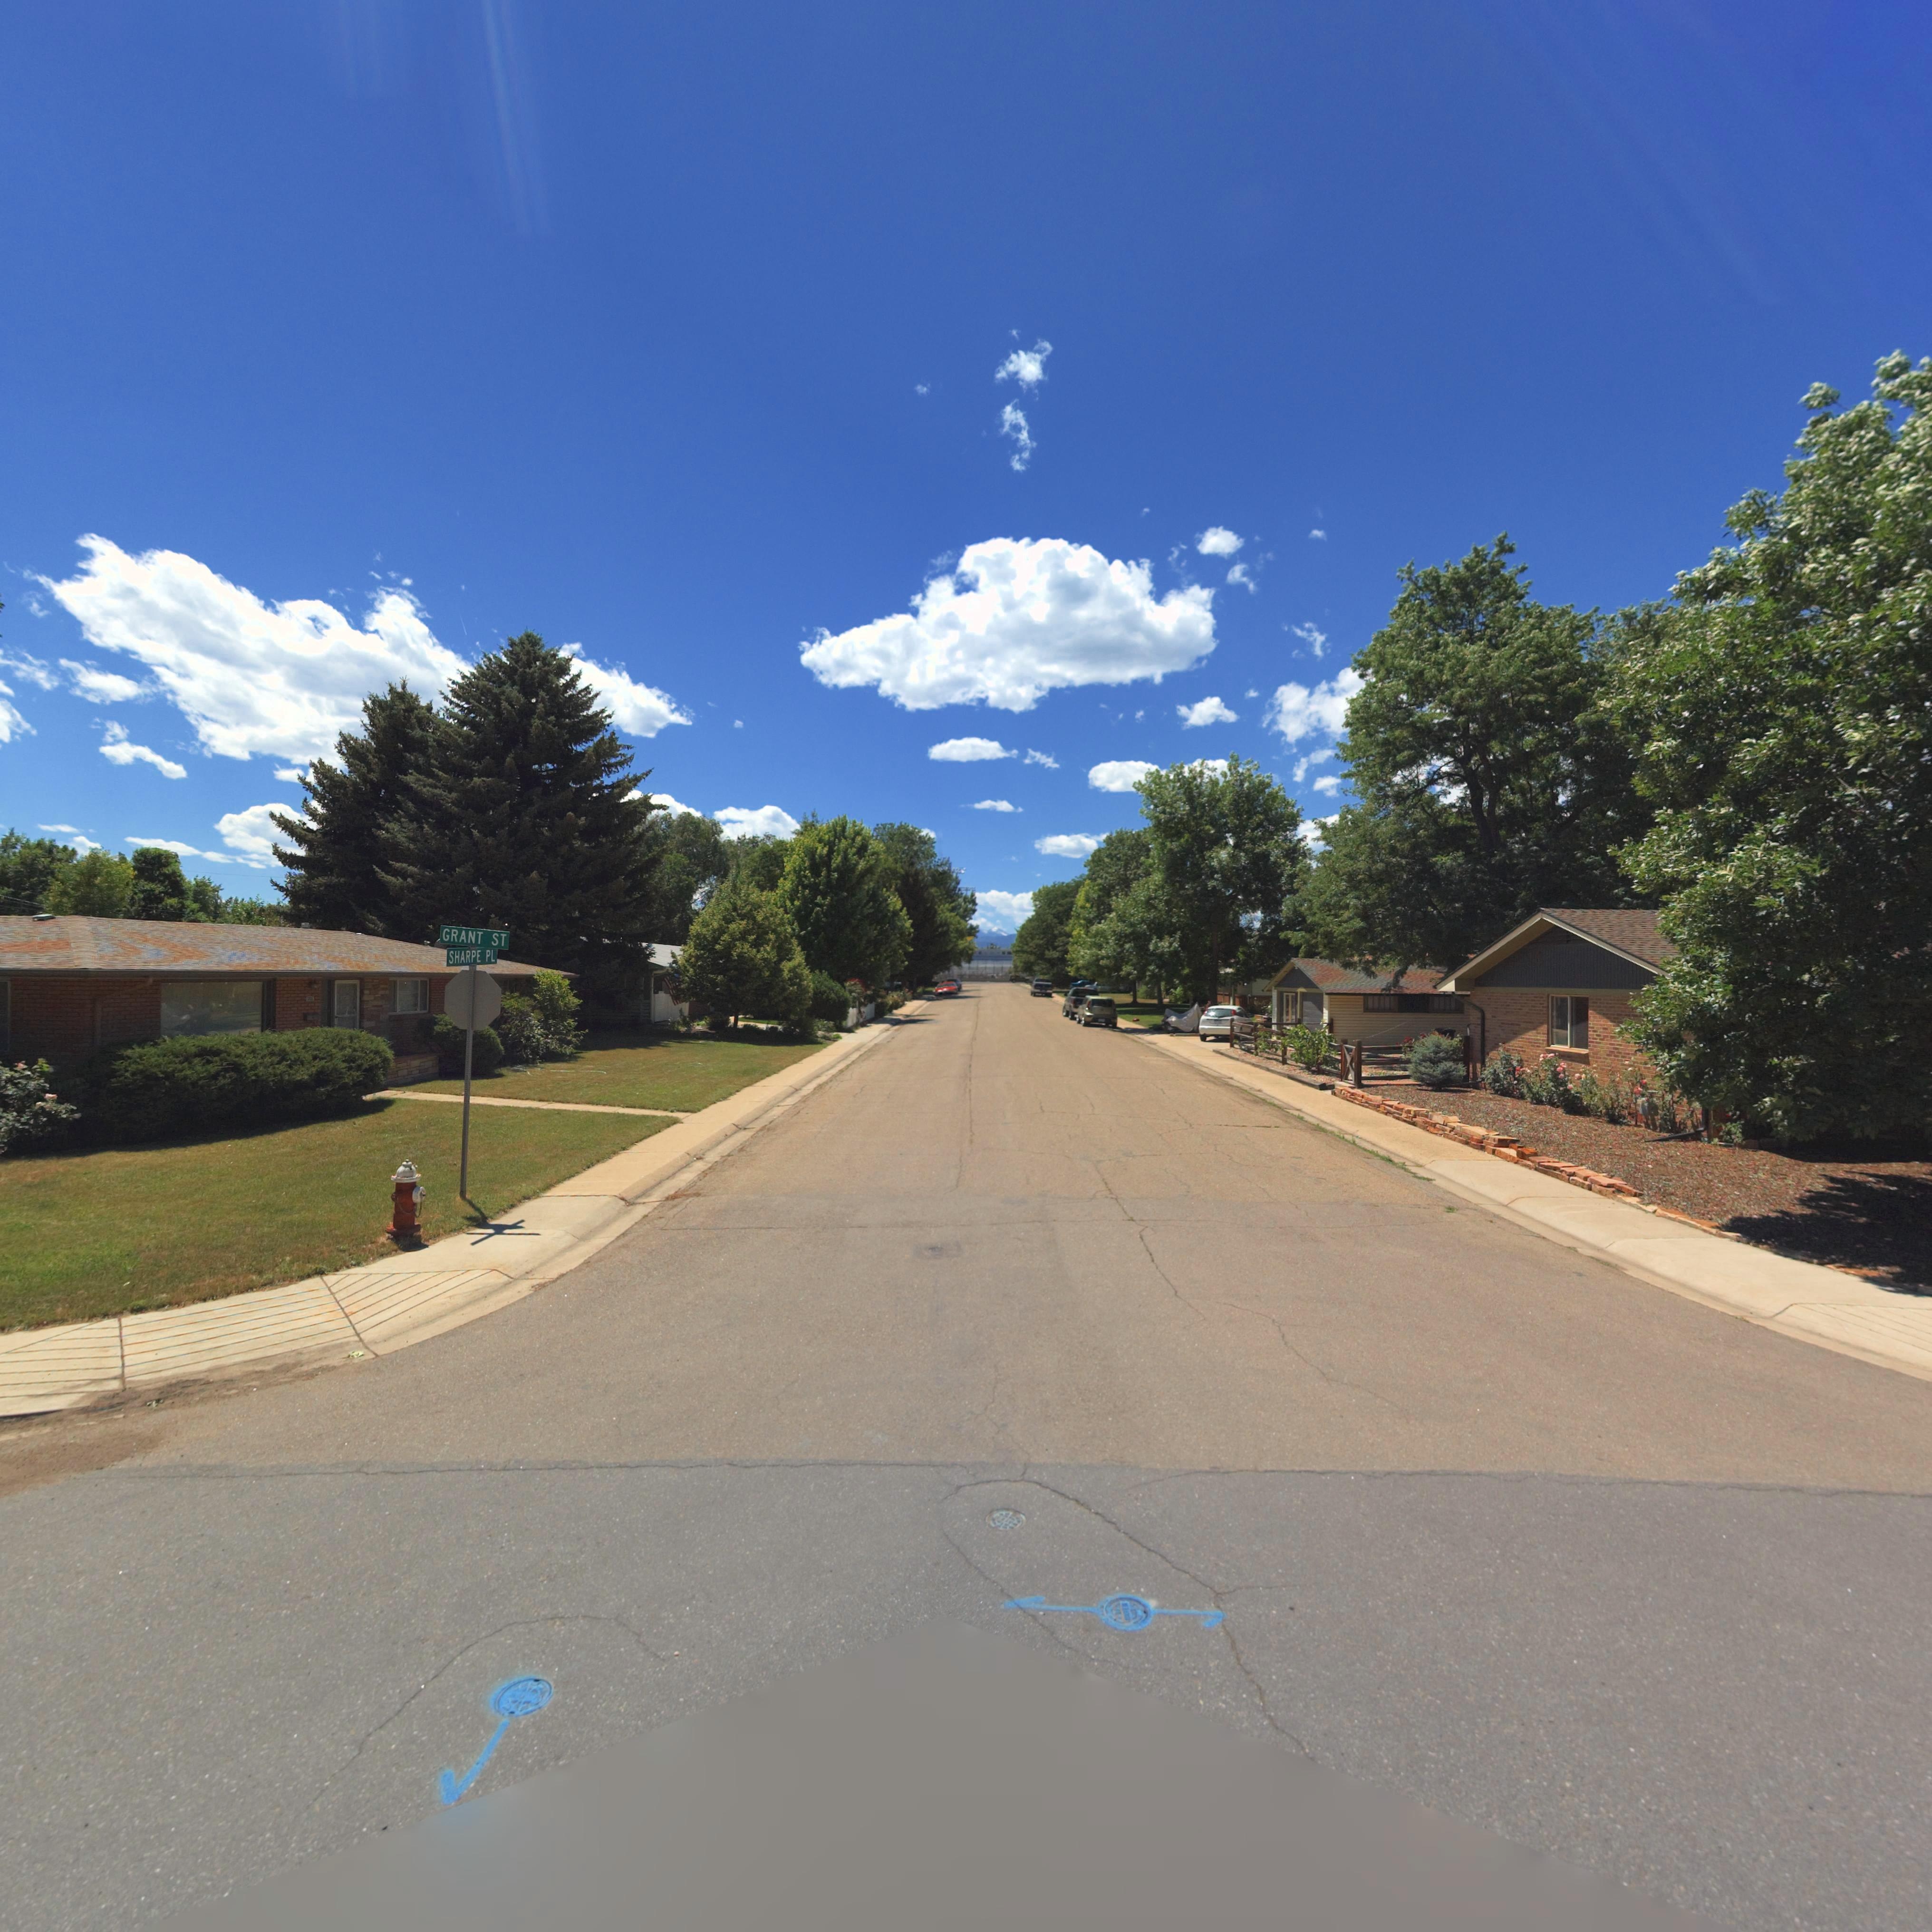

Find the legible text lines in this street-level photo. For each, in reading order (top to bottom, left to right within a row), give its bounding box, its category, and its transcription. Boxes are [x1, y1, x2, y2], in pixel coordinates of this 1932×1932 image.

[442, 928, 507, 947] StreetName: GRANT ST
[448, 949, 495, 964] StreetName: SHARPE PL